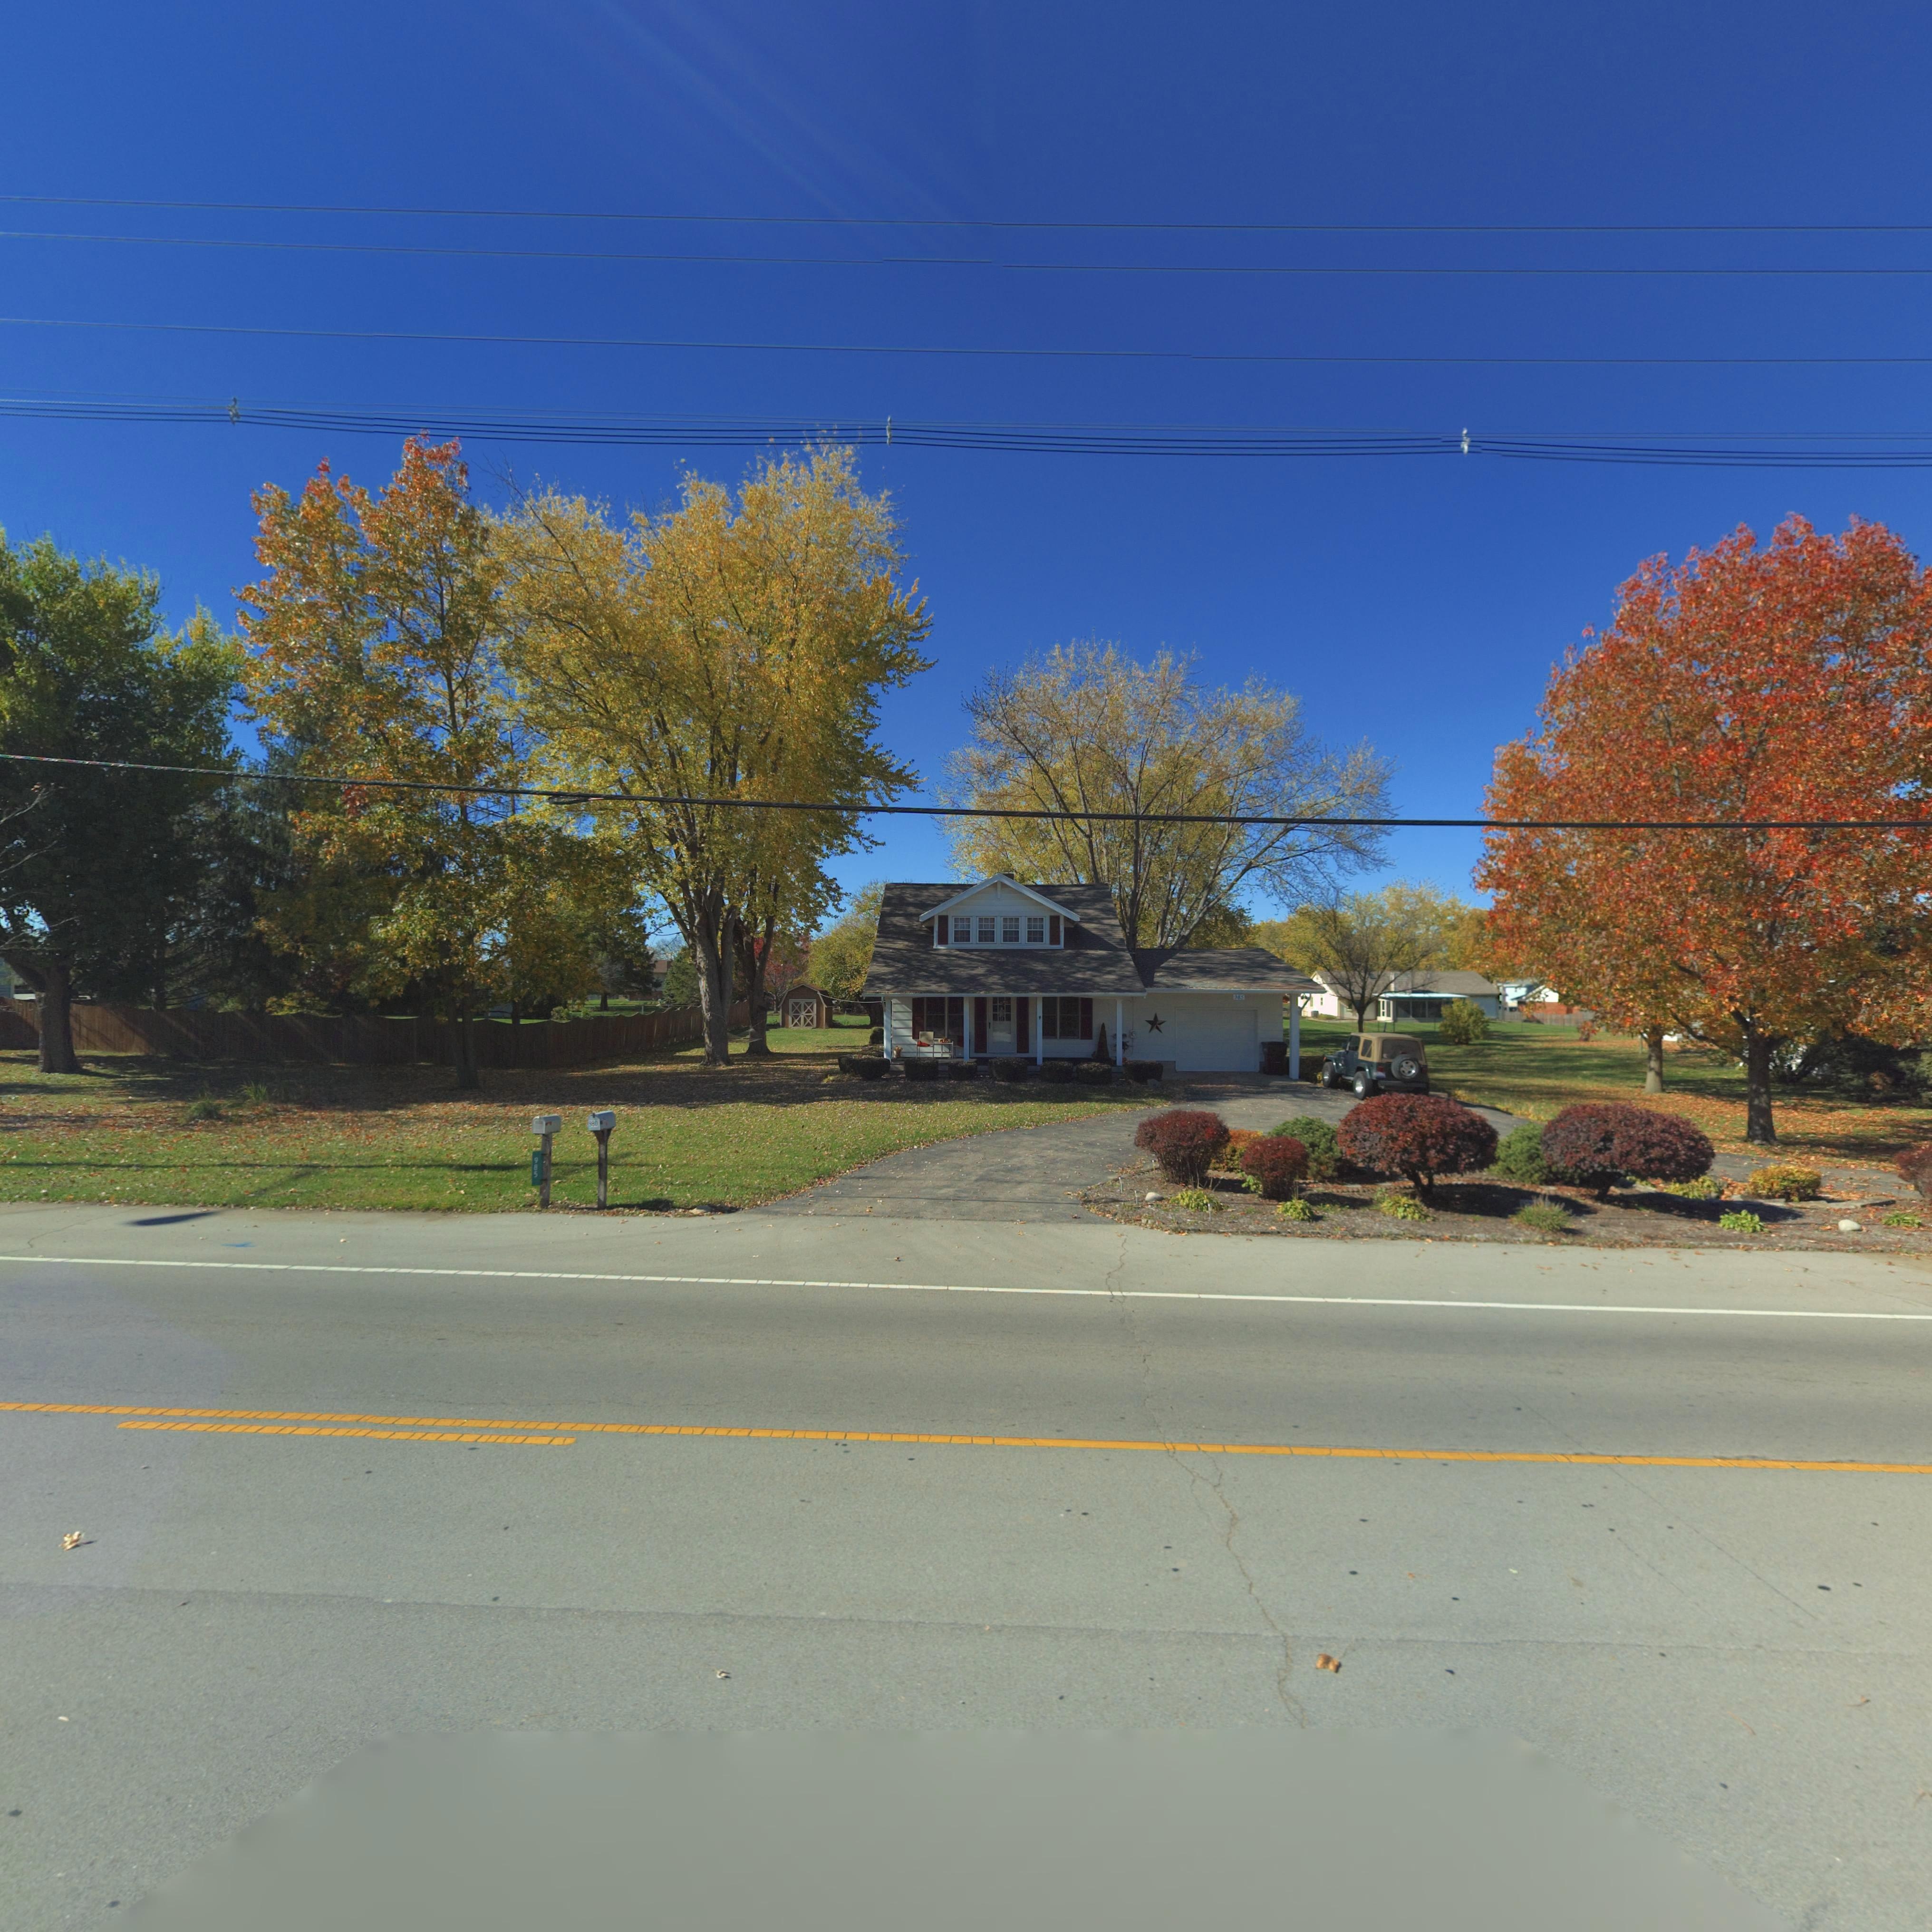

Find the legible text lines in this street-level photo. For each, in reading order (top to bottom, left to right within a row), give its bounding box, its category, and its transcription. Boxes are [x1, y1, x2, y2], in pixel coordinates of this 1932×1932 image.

[1234, 994, 1245, 1001] StreetNumber: 285
[588, 1120, 599, 1127] StreetNumber: 980
[533, 1156, 539, 1179] StreetNumber: 985